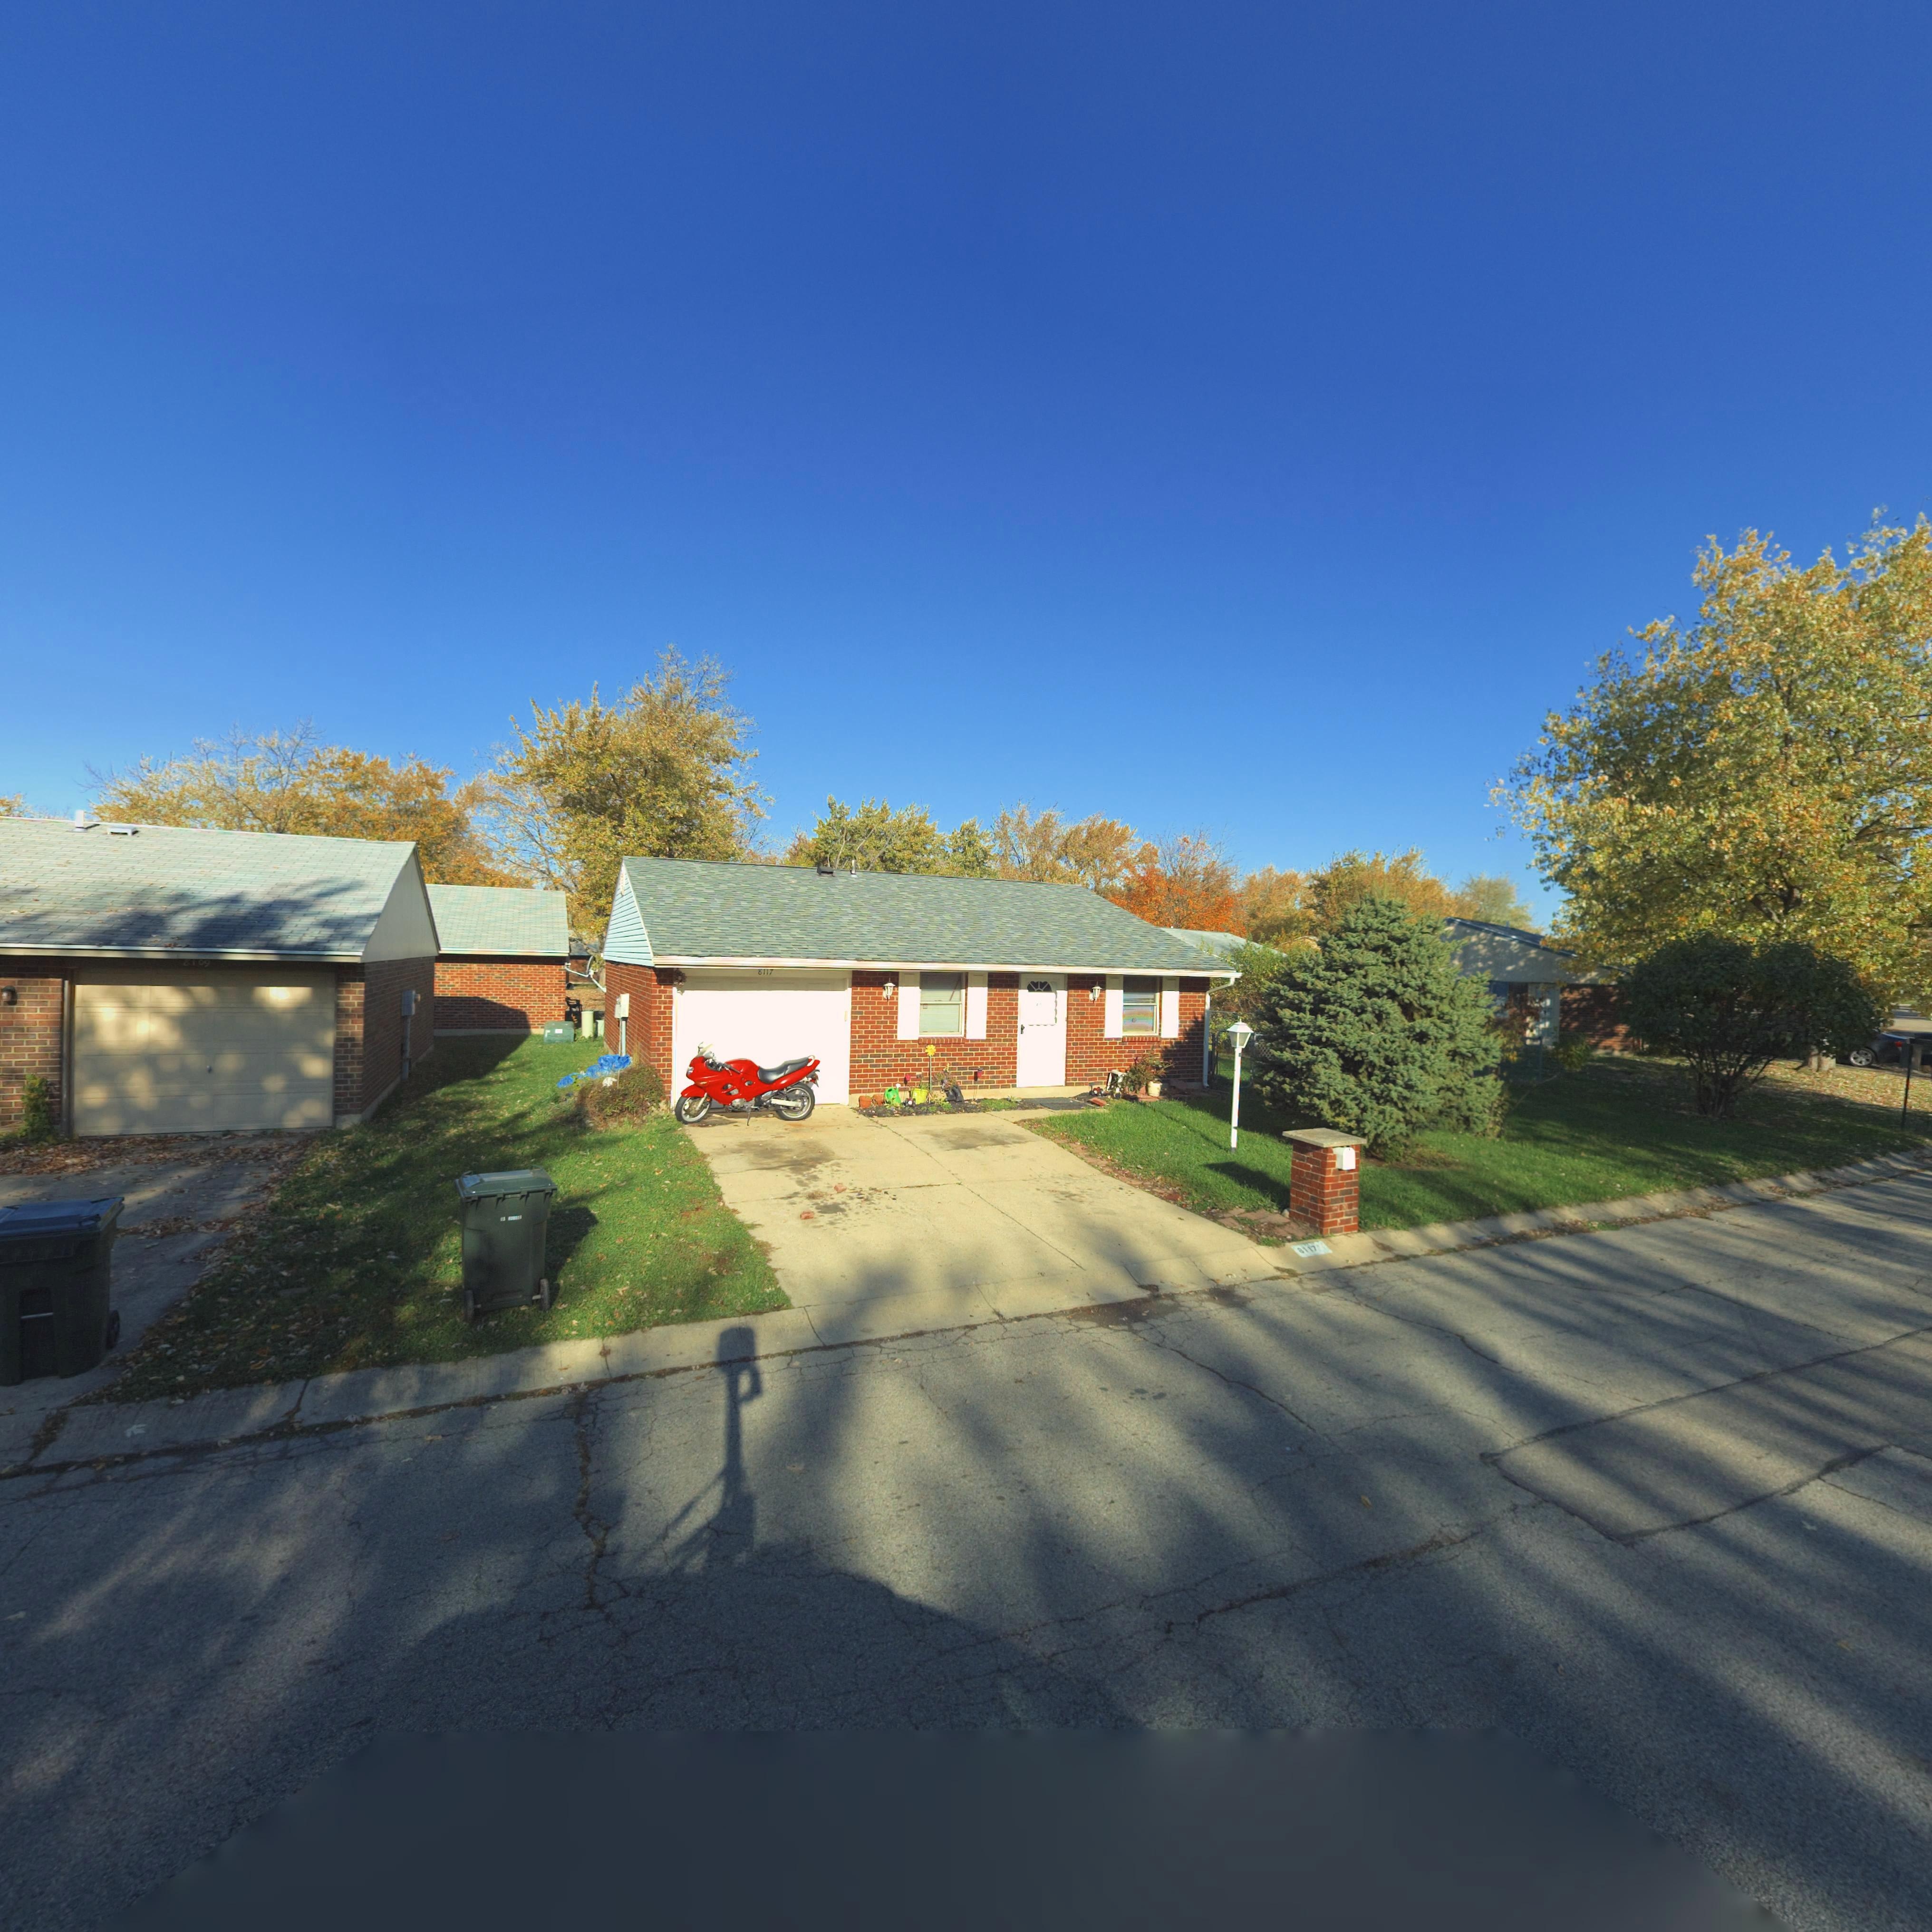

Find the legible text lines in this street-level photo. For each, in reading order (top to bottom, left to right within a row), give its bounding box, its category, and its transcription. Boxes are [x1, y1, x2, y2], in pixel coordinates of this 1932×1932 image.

[182, 958, 212, 968] StreetNumber: *109
[757, 967, 775, 976] StreetNumber: 8117
[1295, 1244, 1318, 1255] StreetNumber: 8117